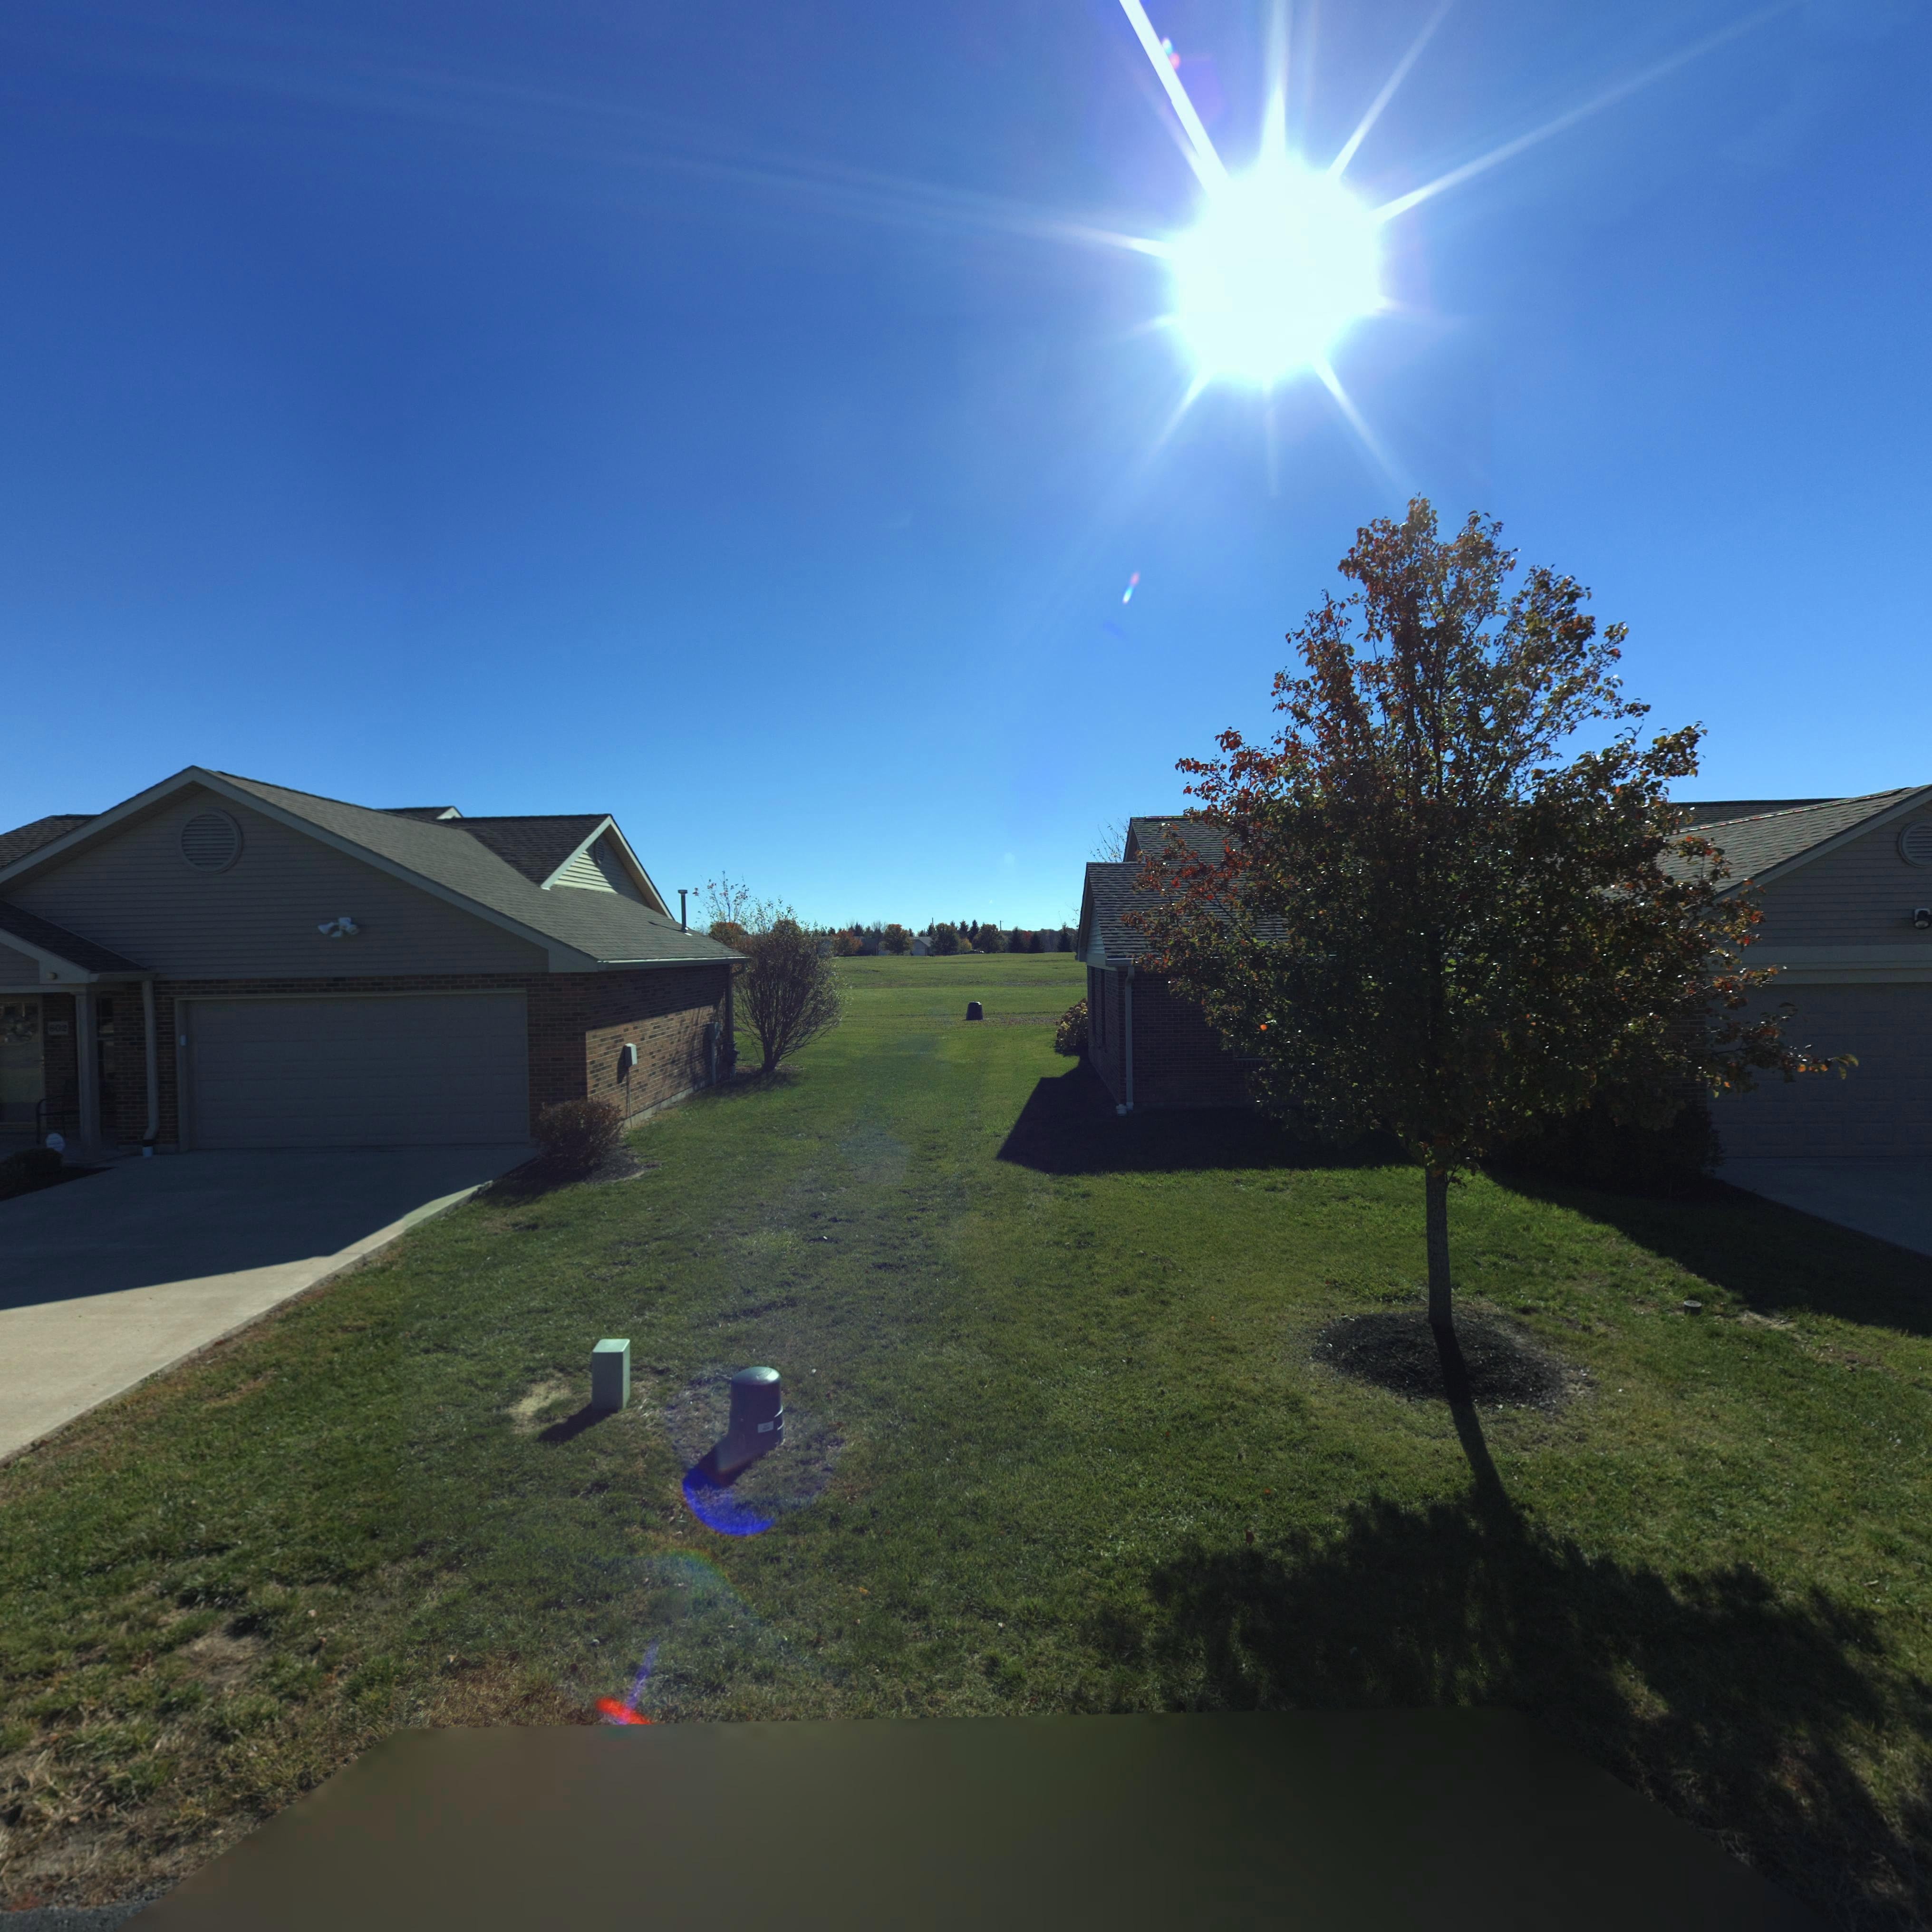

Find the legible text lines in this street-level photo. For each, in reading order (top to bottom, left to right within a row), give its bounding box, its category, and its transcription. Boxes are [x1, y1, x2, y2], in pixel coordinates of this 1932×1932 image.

[48, 1024, 67, 1033] StreetNumber: 602